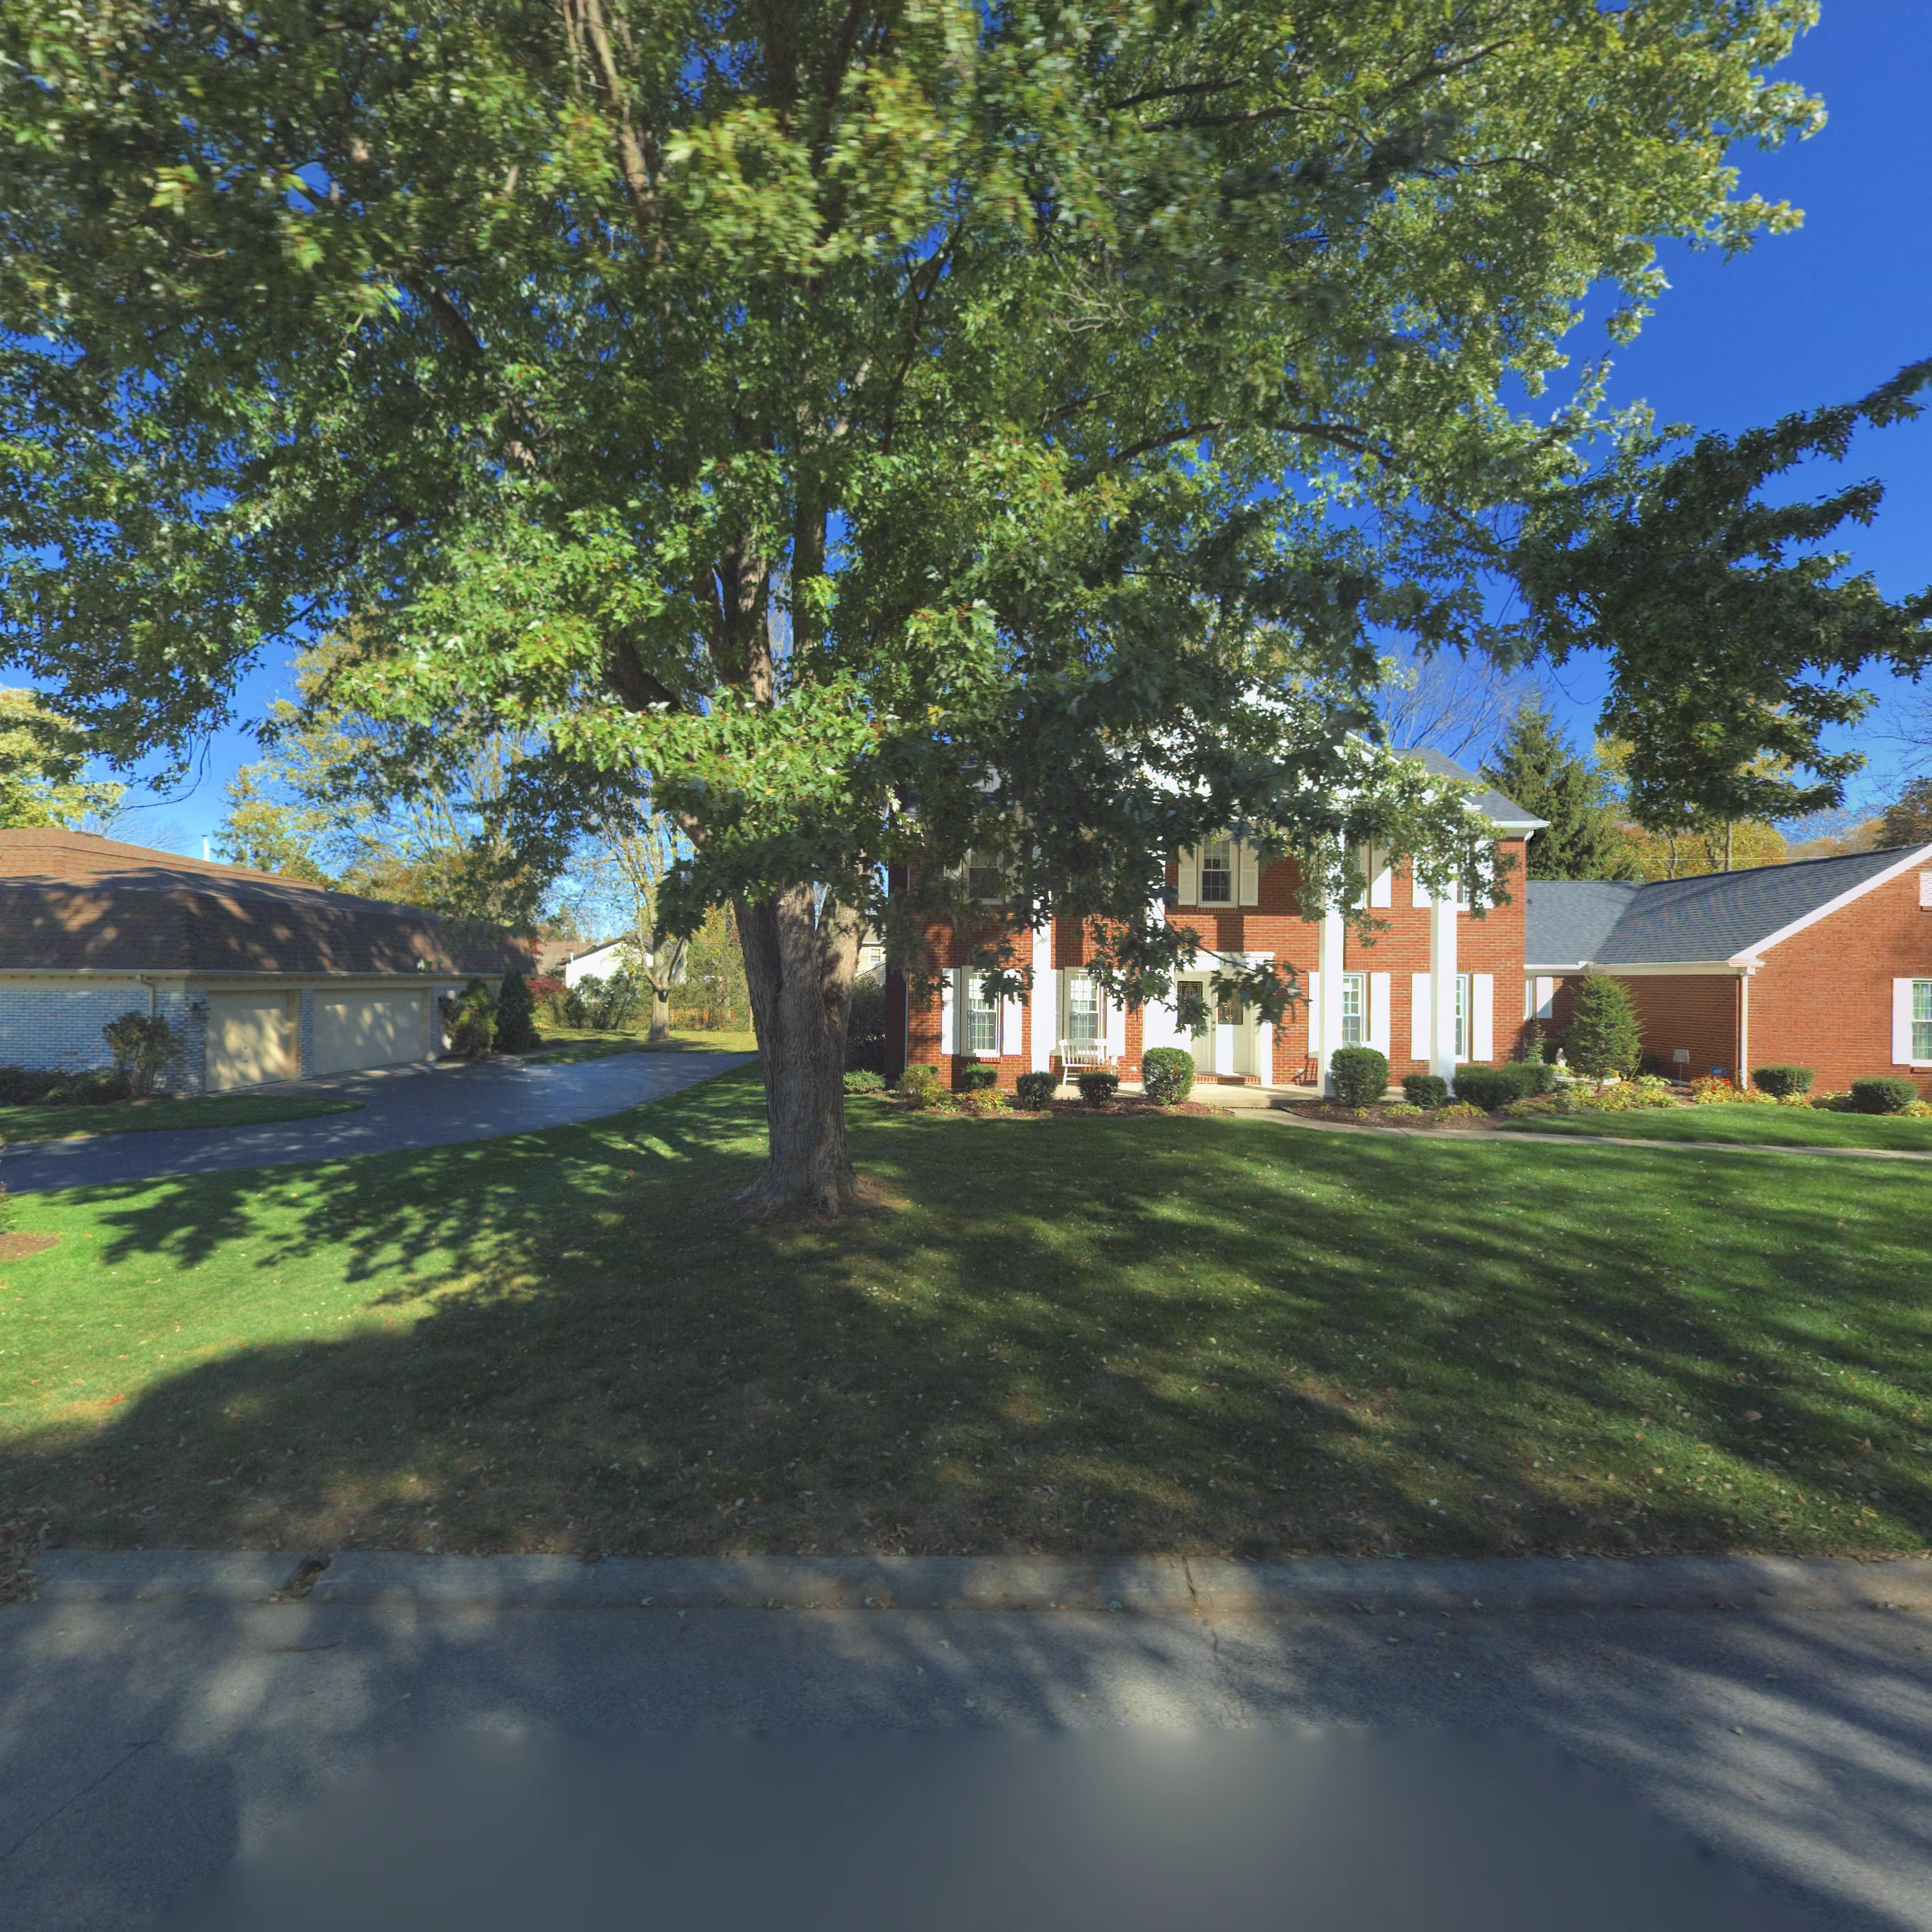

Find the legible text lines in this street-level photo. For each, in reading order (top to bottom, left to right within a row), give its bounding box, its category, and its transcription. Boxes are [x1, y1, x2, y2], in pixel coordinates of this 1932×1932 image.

[1208, 957, 1227, 966] StreetNumber: 761